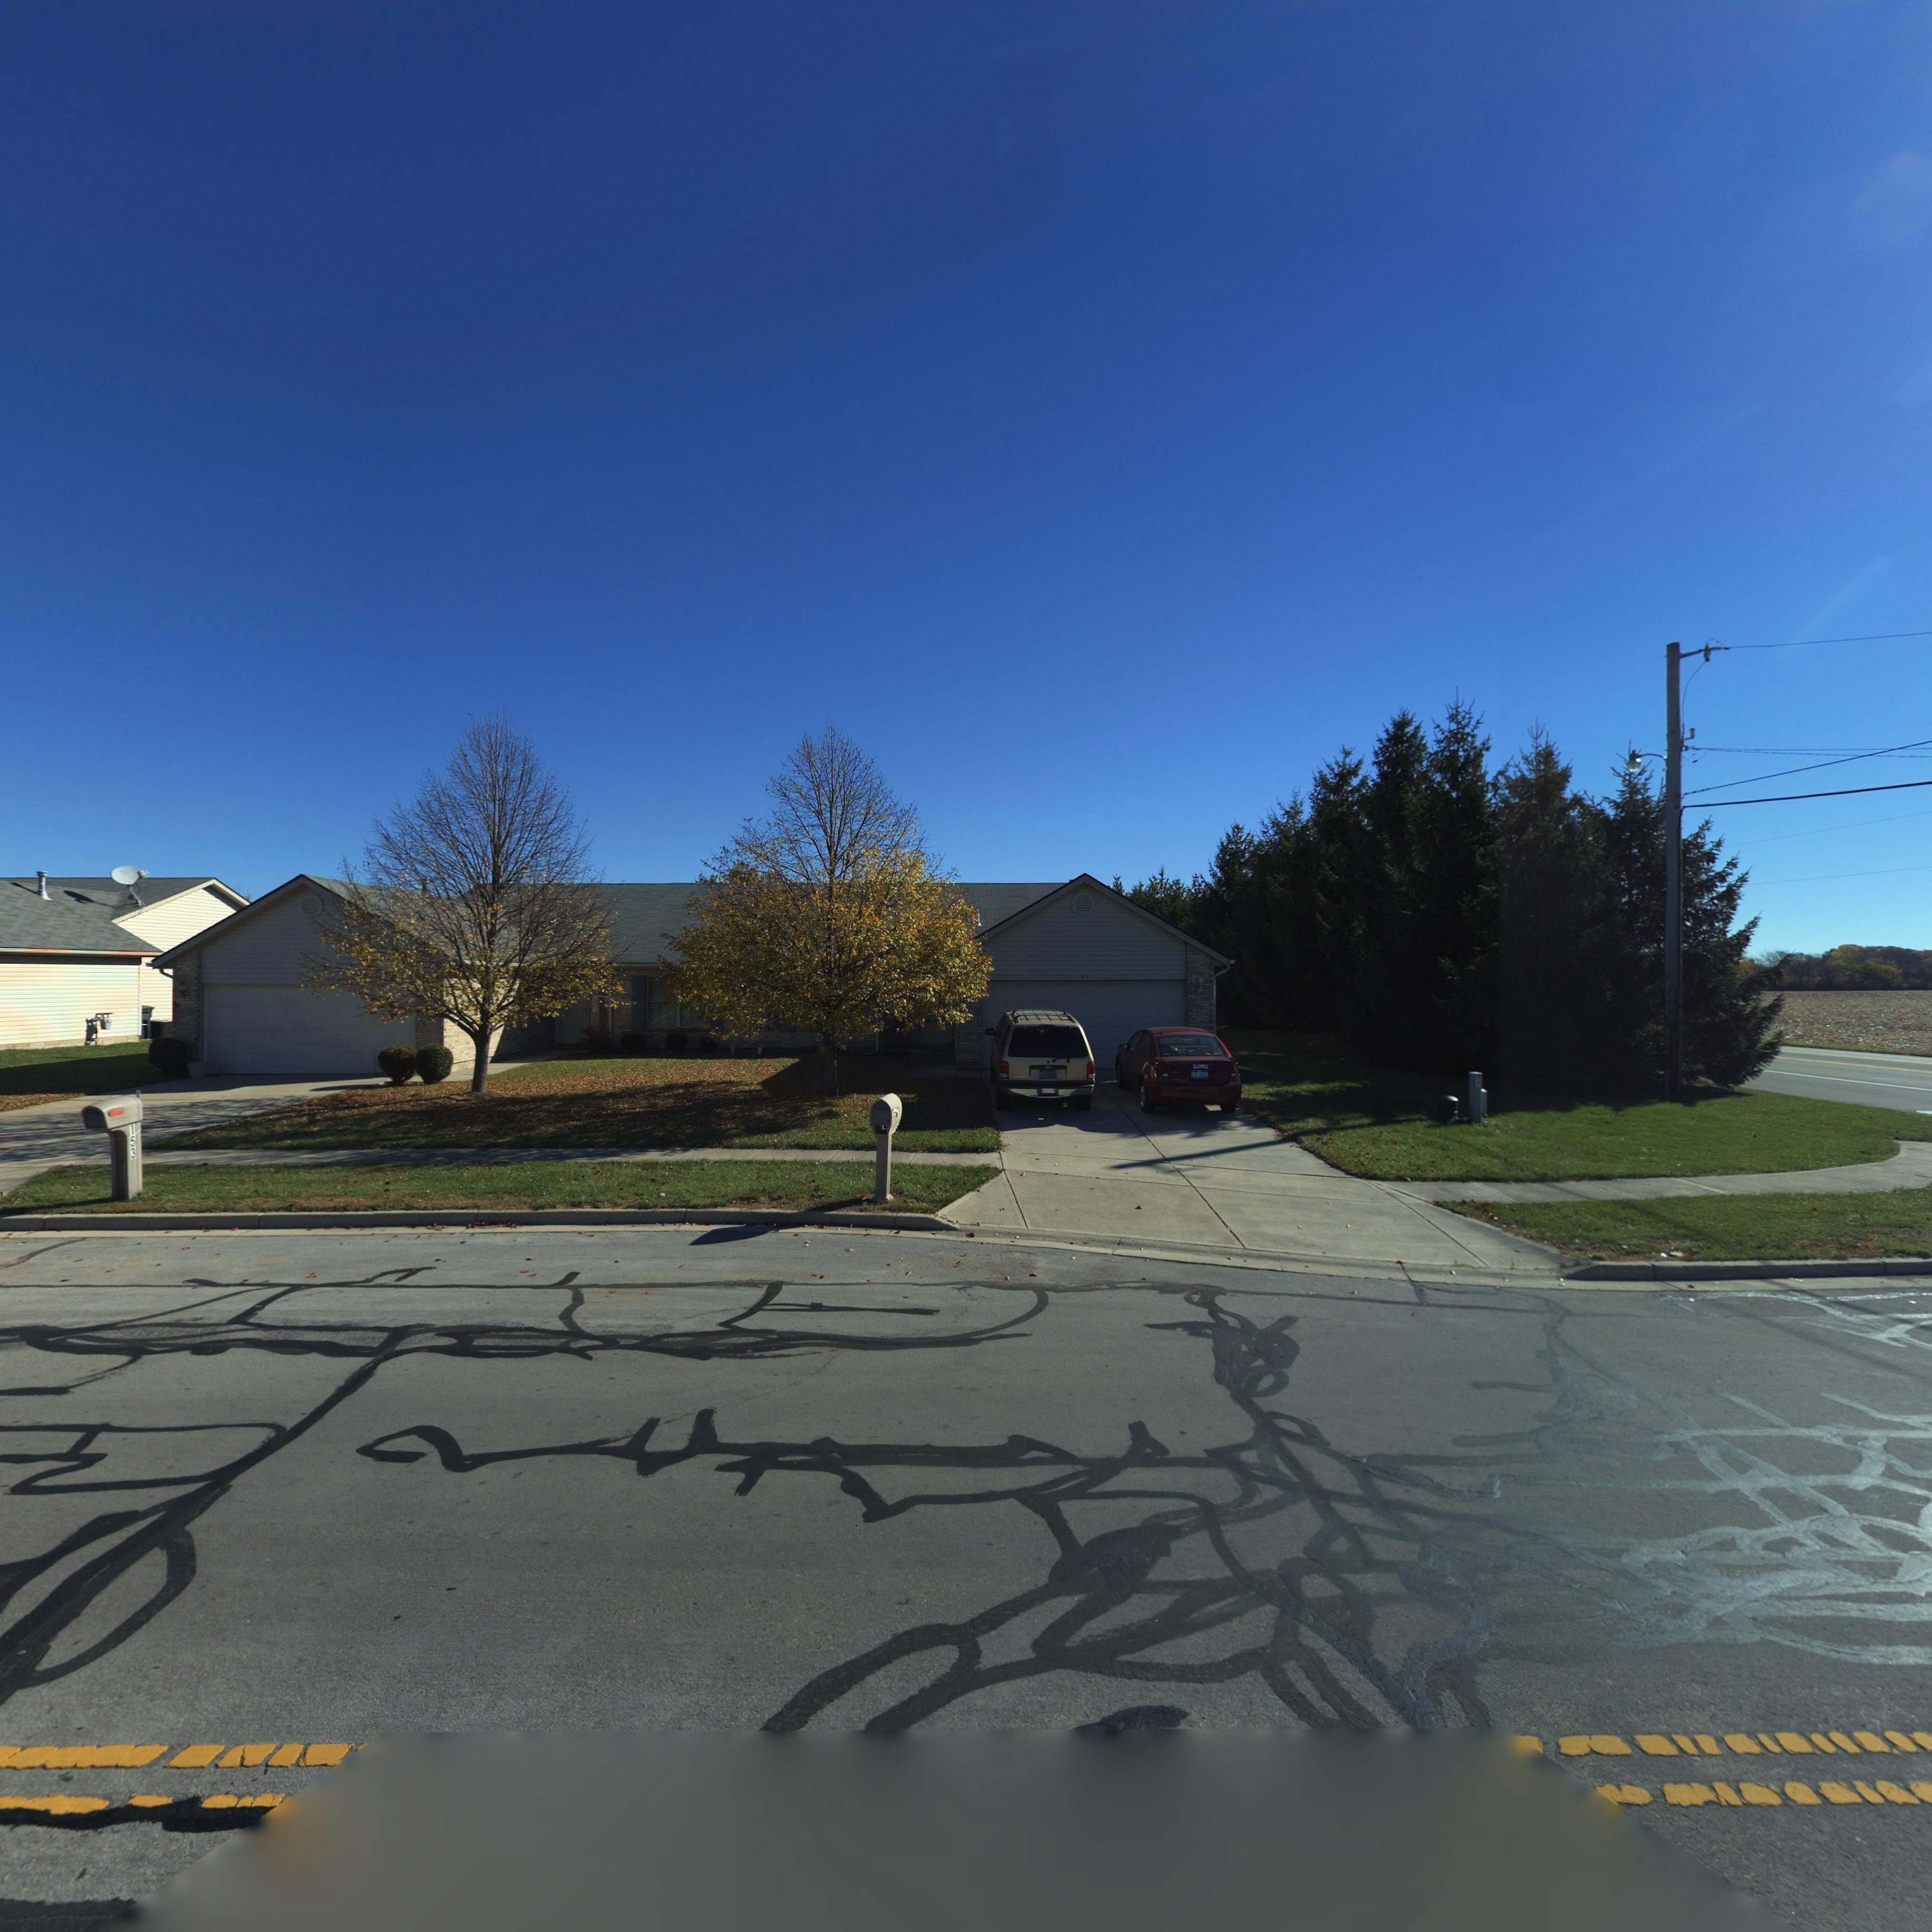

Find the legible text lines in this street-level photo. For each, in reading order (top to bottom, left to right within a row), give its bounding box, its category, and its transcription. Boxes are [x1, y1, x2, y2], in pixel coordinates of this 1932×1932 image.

[1080, 975, 1089, 979] StreetNumber: 155
[129, 1122, 137, 1160] StreetNumber: 153